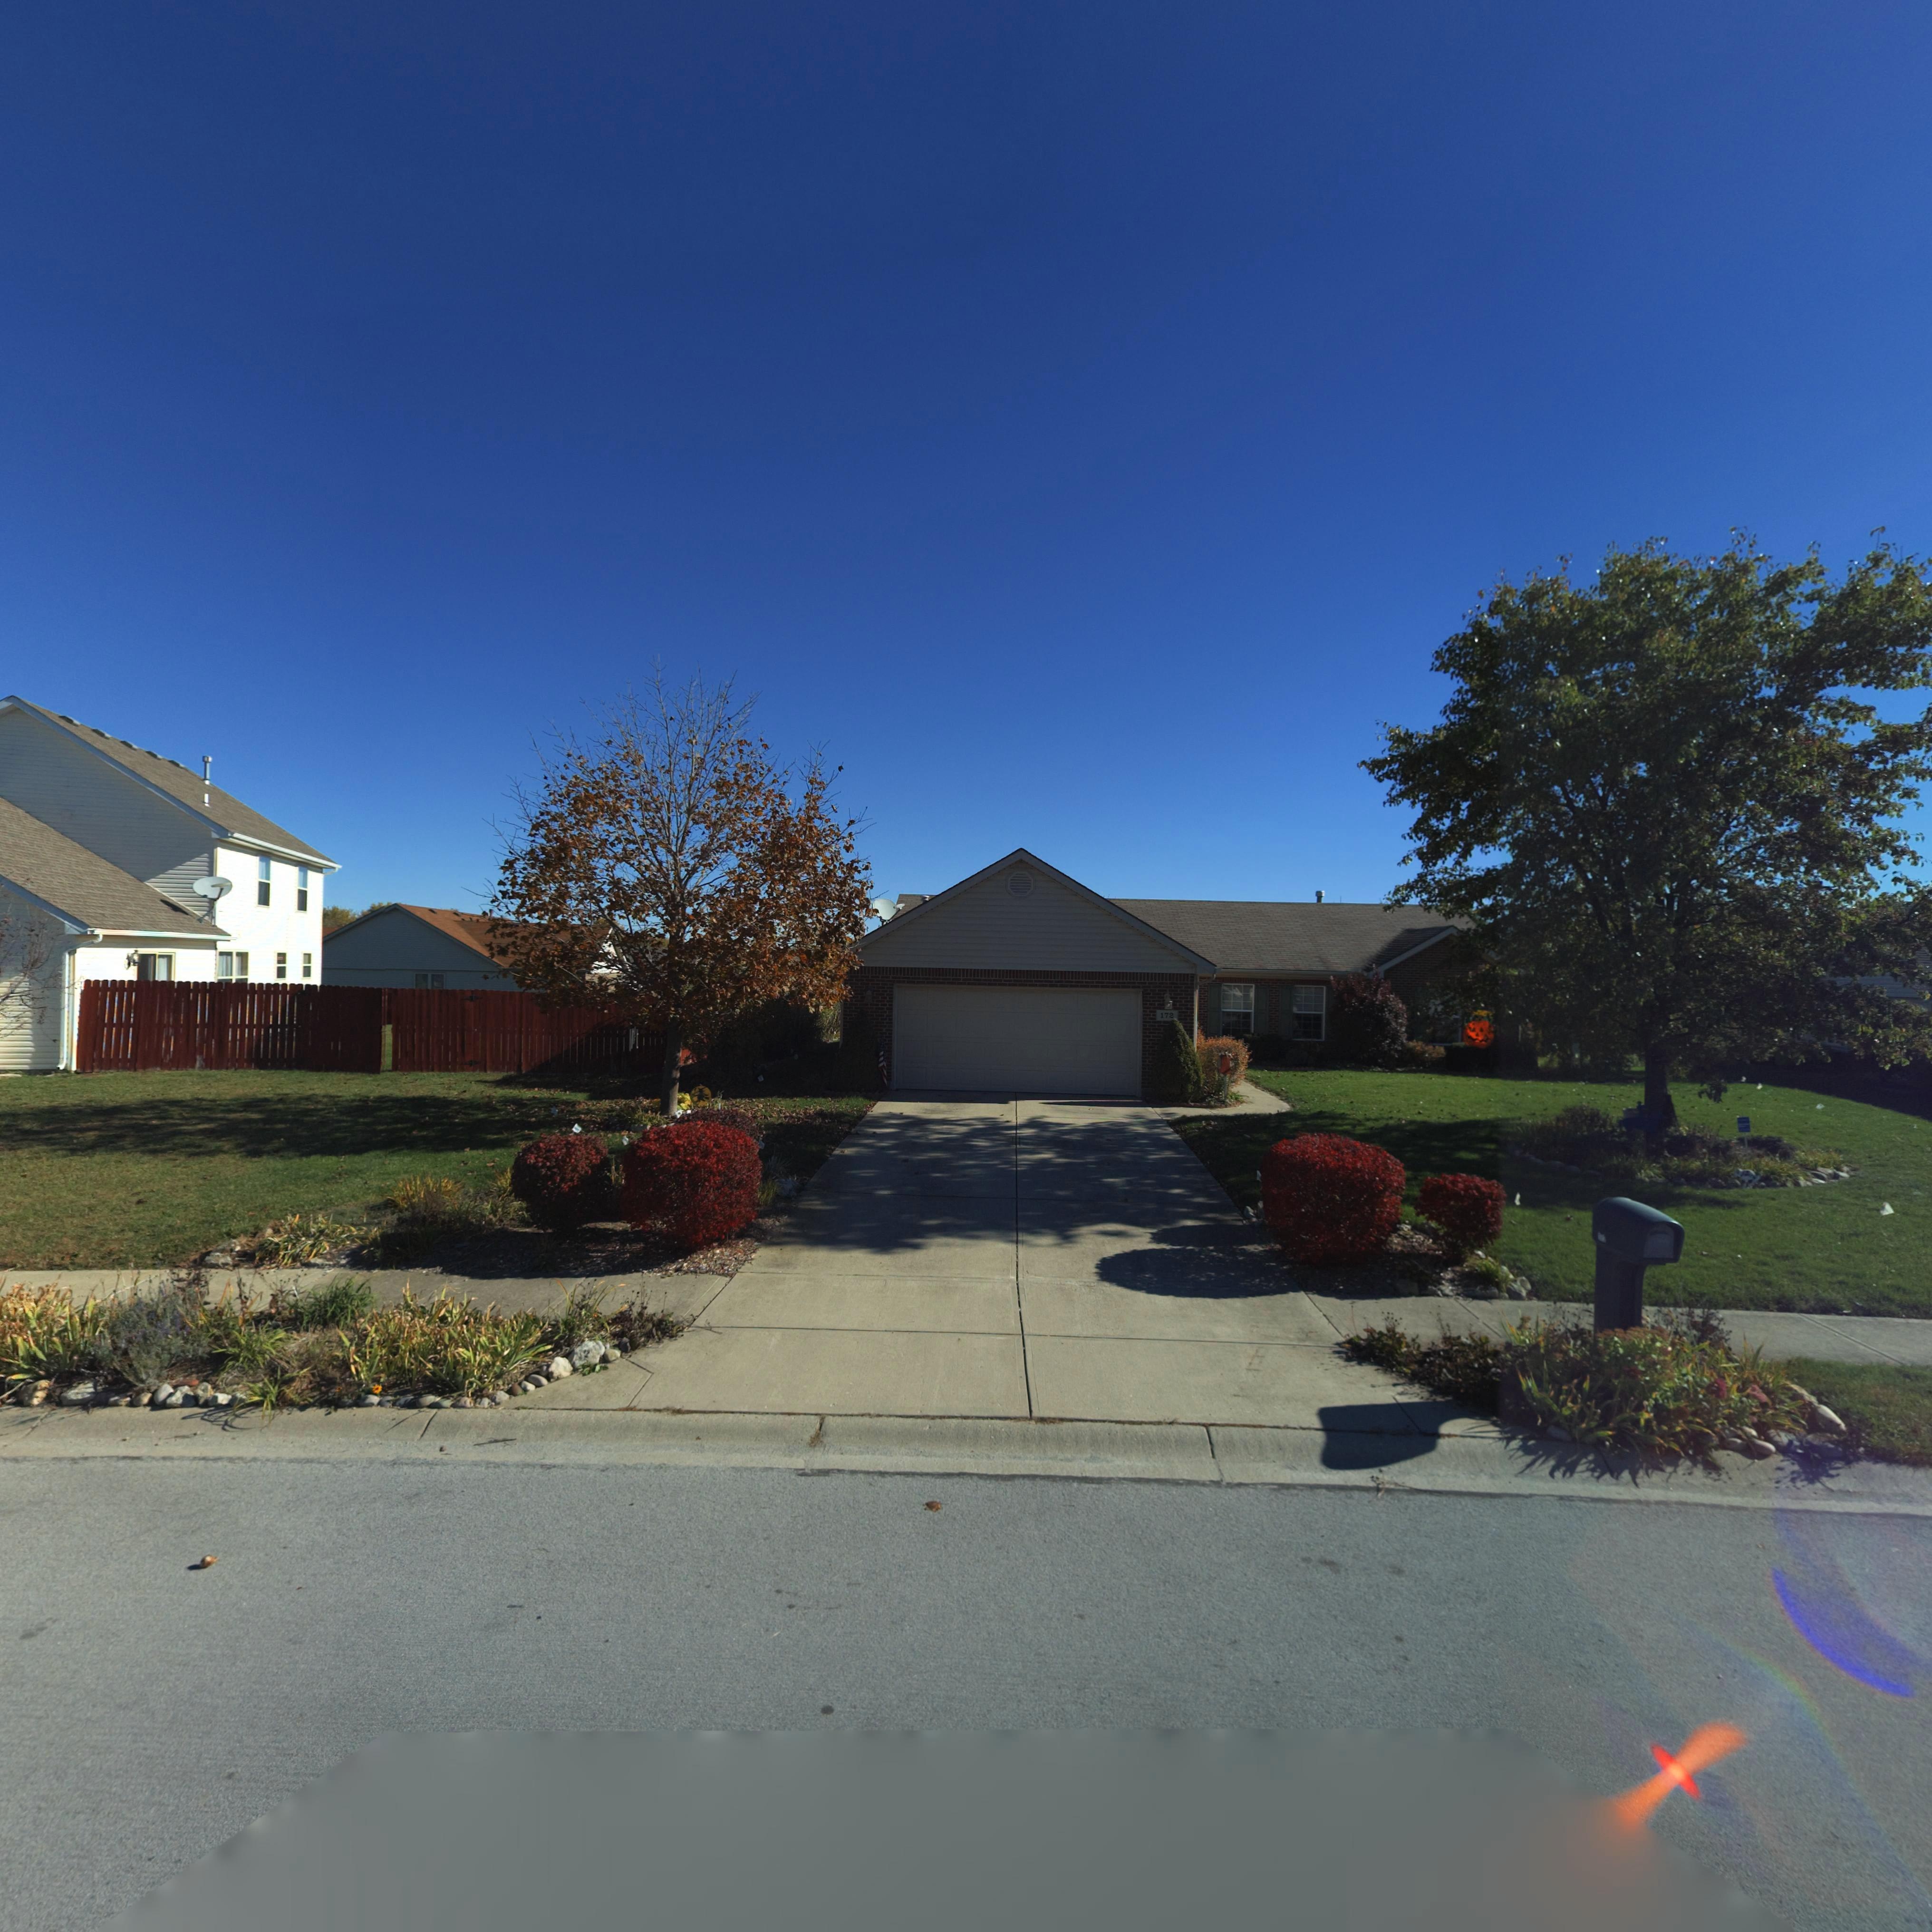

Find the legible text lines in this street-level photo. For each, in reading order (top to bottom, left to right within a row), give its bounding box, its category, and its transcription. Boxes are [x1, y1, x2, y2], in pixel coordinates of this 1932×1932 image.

[1160, 1012, 1174, 1018] StreetNumber: 172